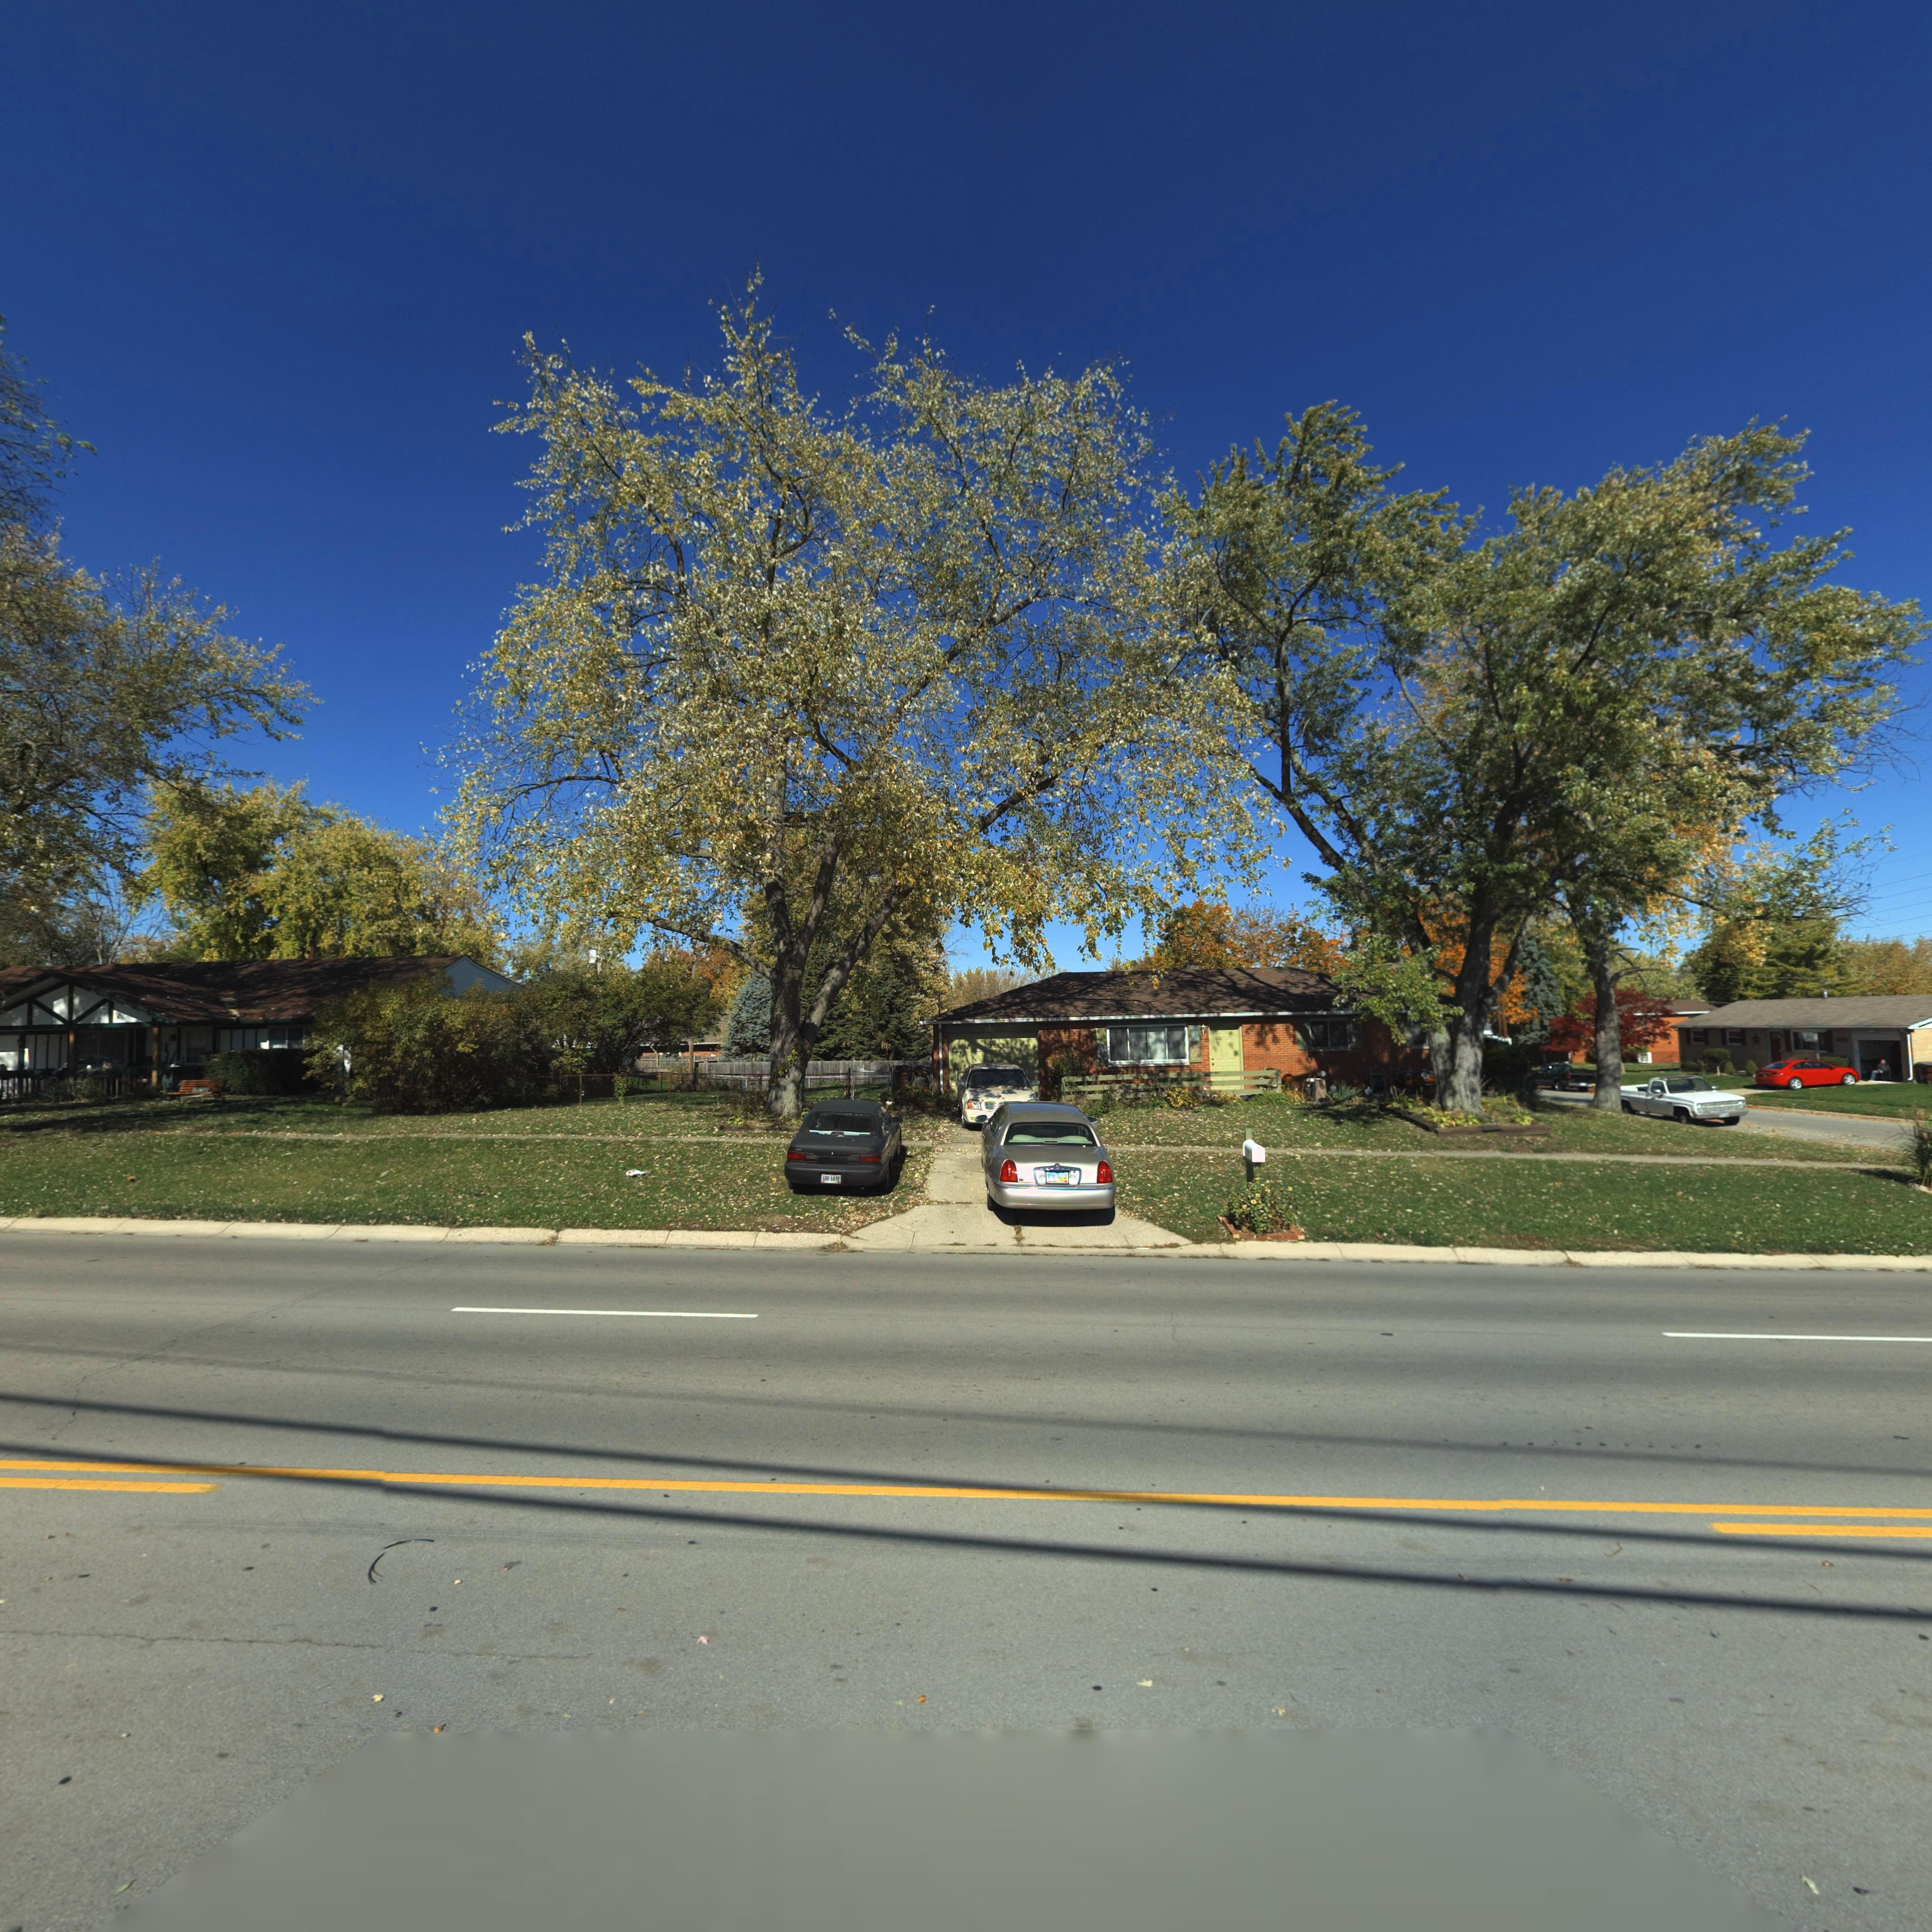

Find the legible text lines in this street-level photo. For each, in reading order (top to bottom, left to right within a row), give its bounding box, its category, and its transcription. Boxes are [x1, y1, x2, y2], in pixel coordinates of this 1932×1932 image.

[985, 1027, 995, 1034] StreetNumber: **1